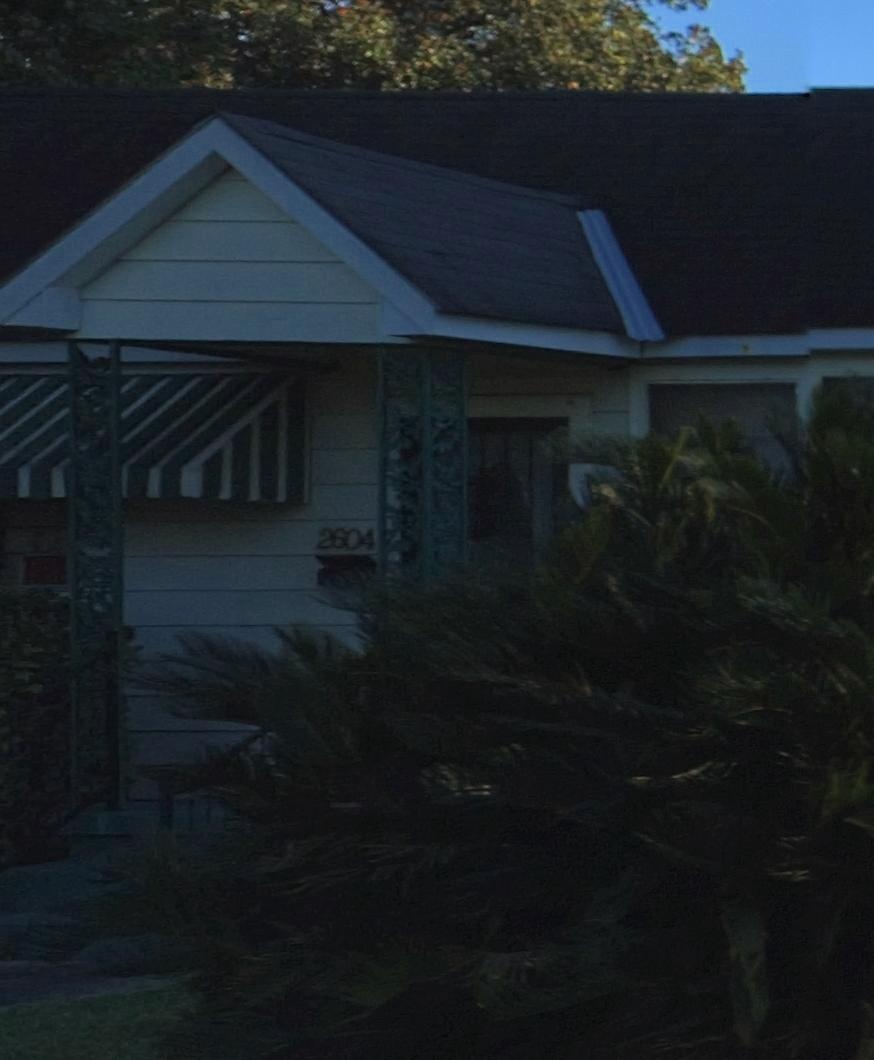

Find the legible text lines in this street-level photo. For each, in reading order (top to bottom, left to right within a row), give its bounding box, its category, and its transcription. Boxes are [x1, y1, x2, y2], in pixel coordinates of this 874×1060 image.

[314, 524, 377, 553] StreetNumber: 2604